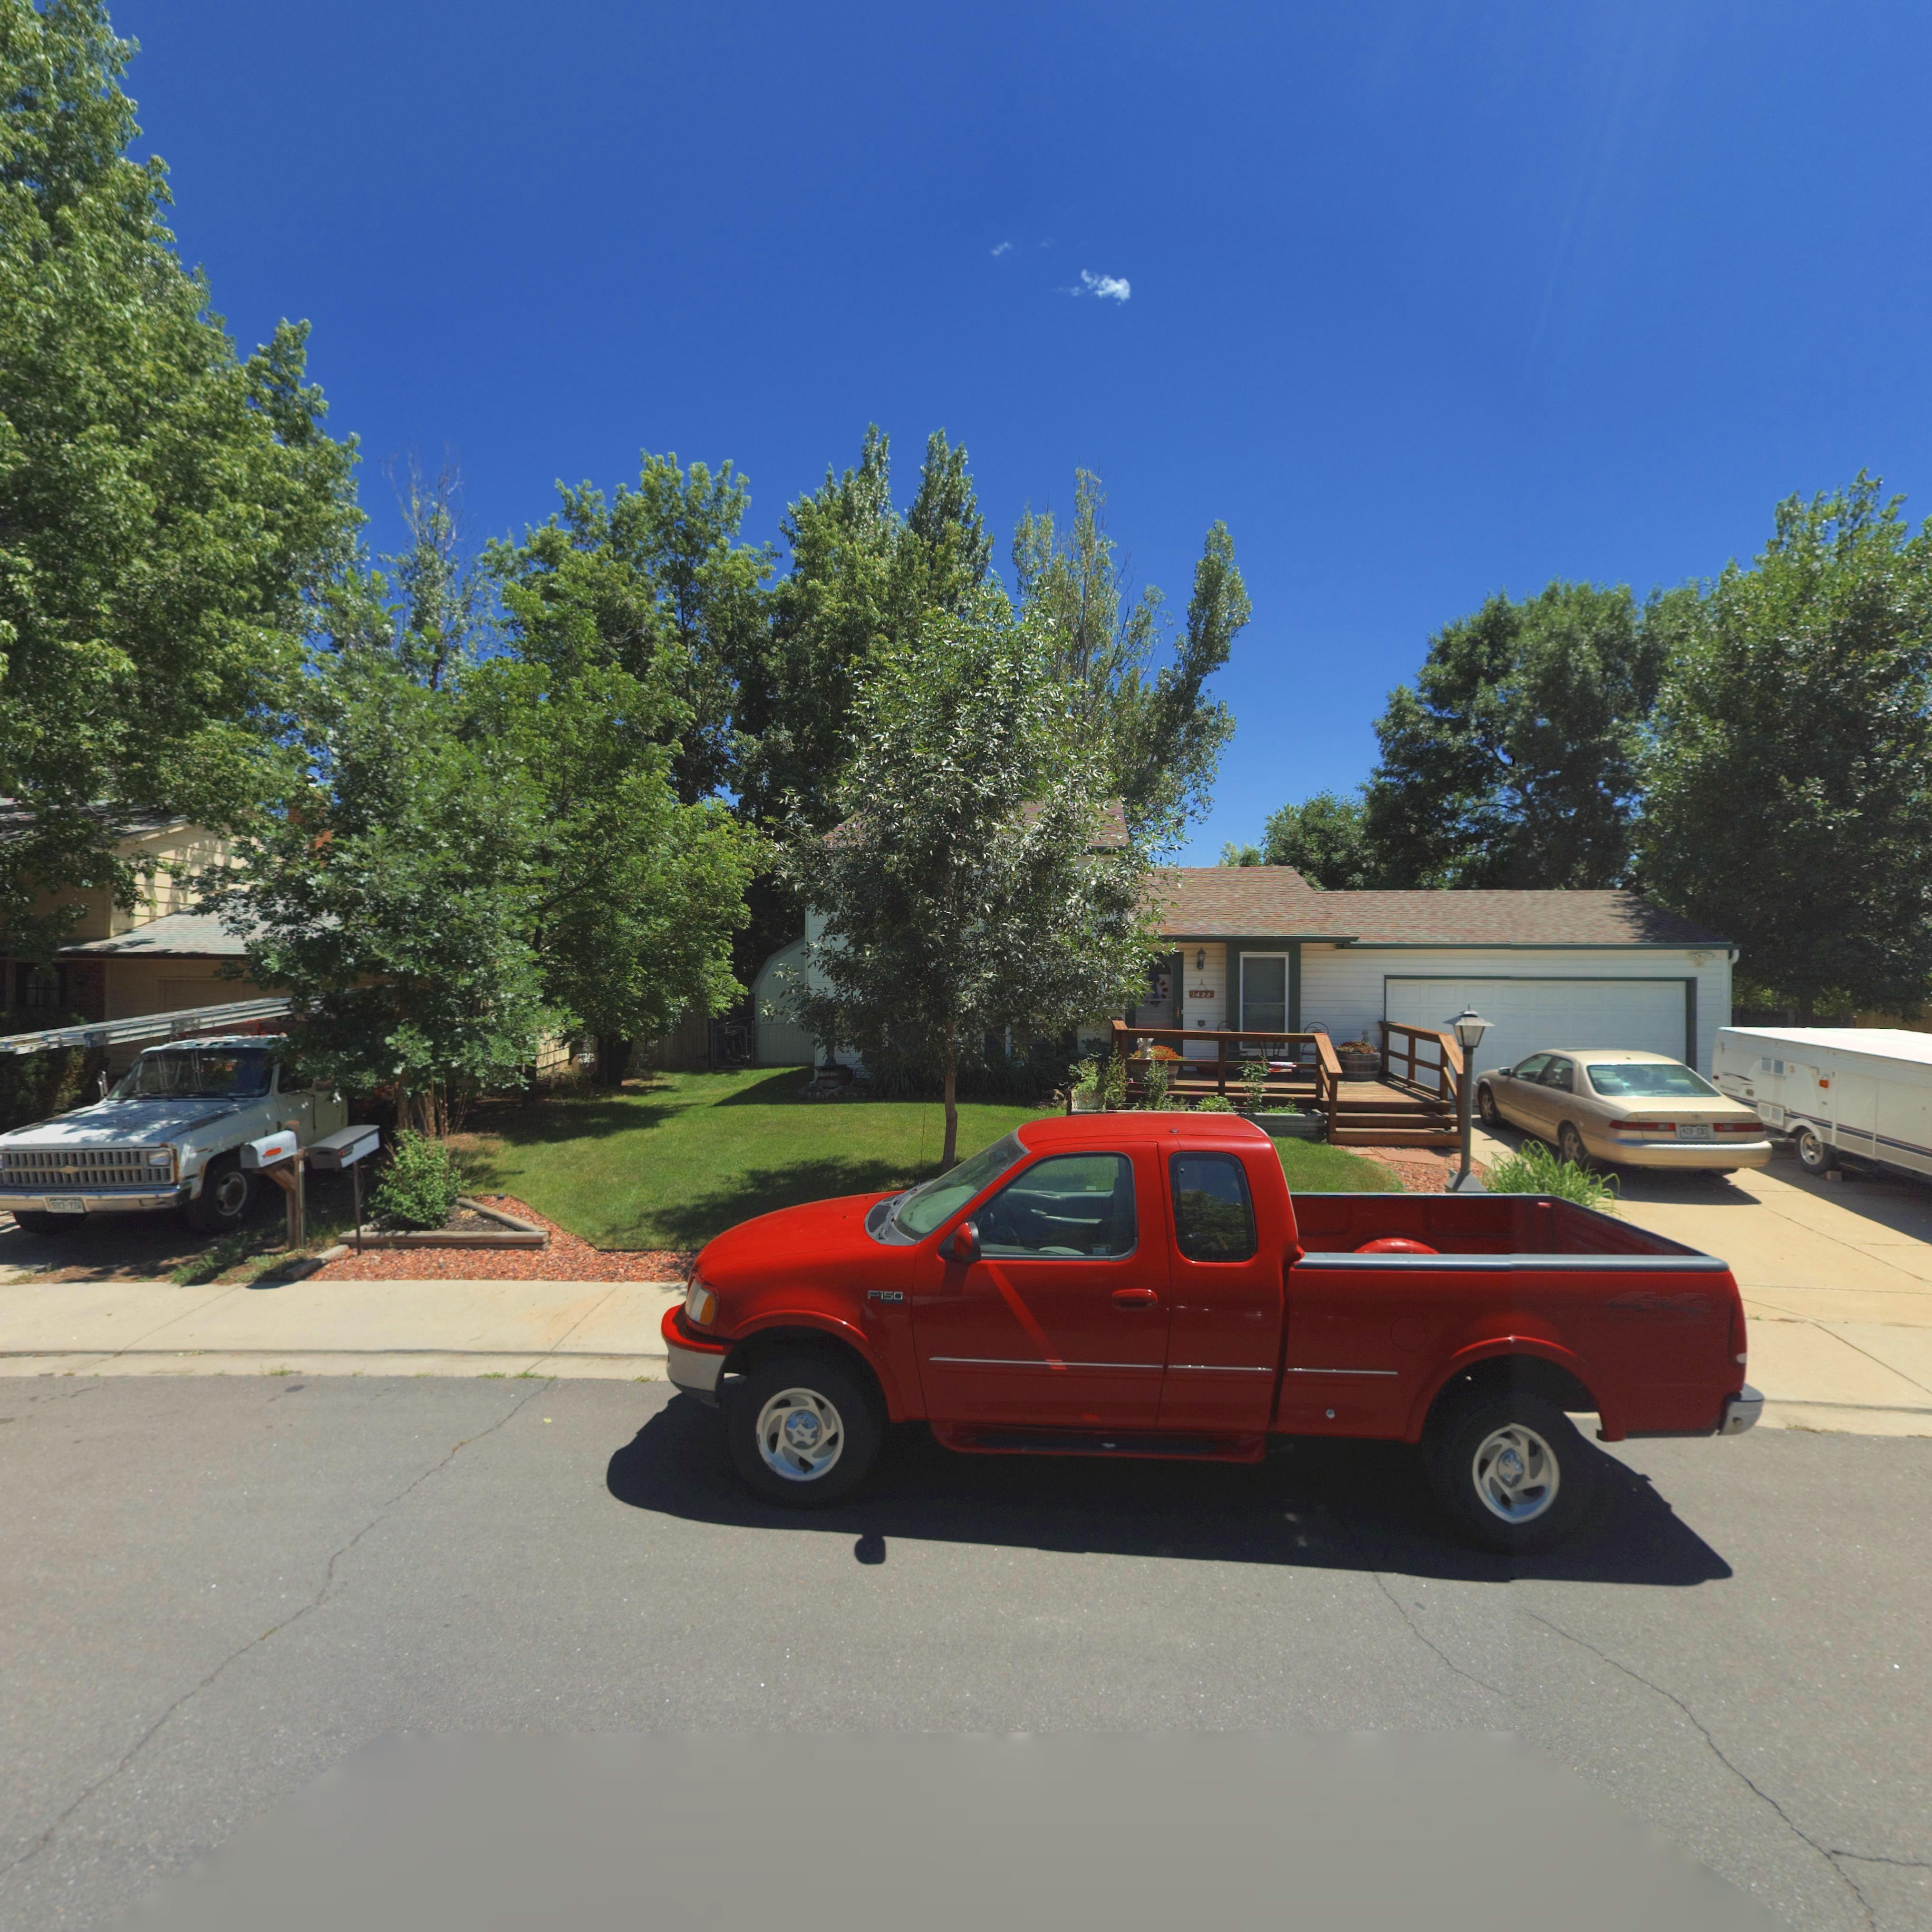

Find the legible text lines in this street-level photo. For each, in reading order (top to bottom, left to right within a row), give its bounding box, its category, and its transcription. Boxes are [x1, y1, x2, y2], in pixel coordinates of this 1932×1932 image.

[1192, 992, 1211, 997] StreetNumber: 1433